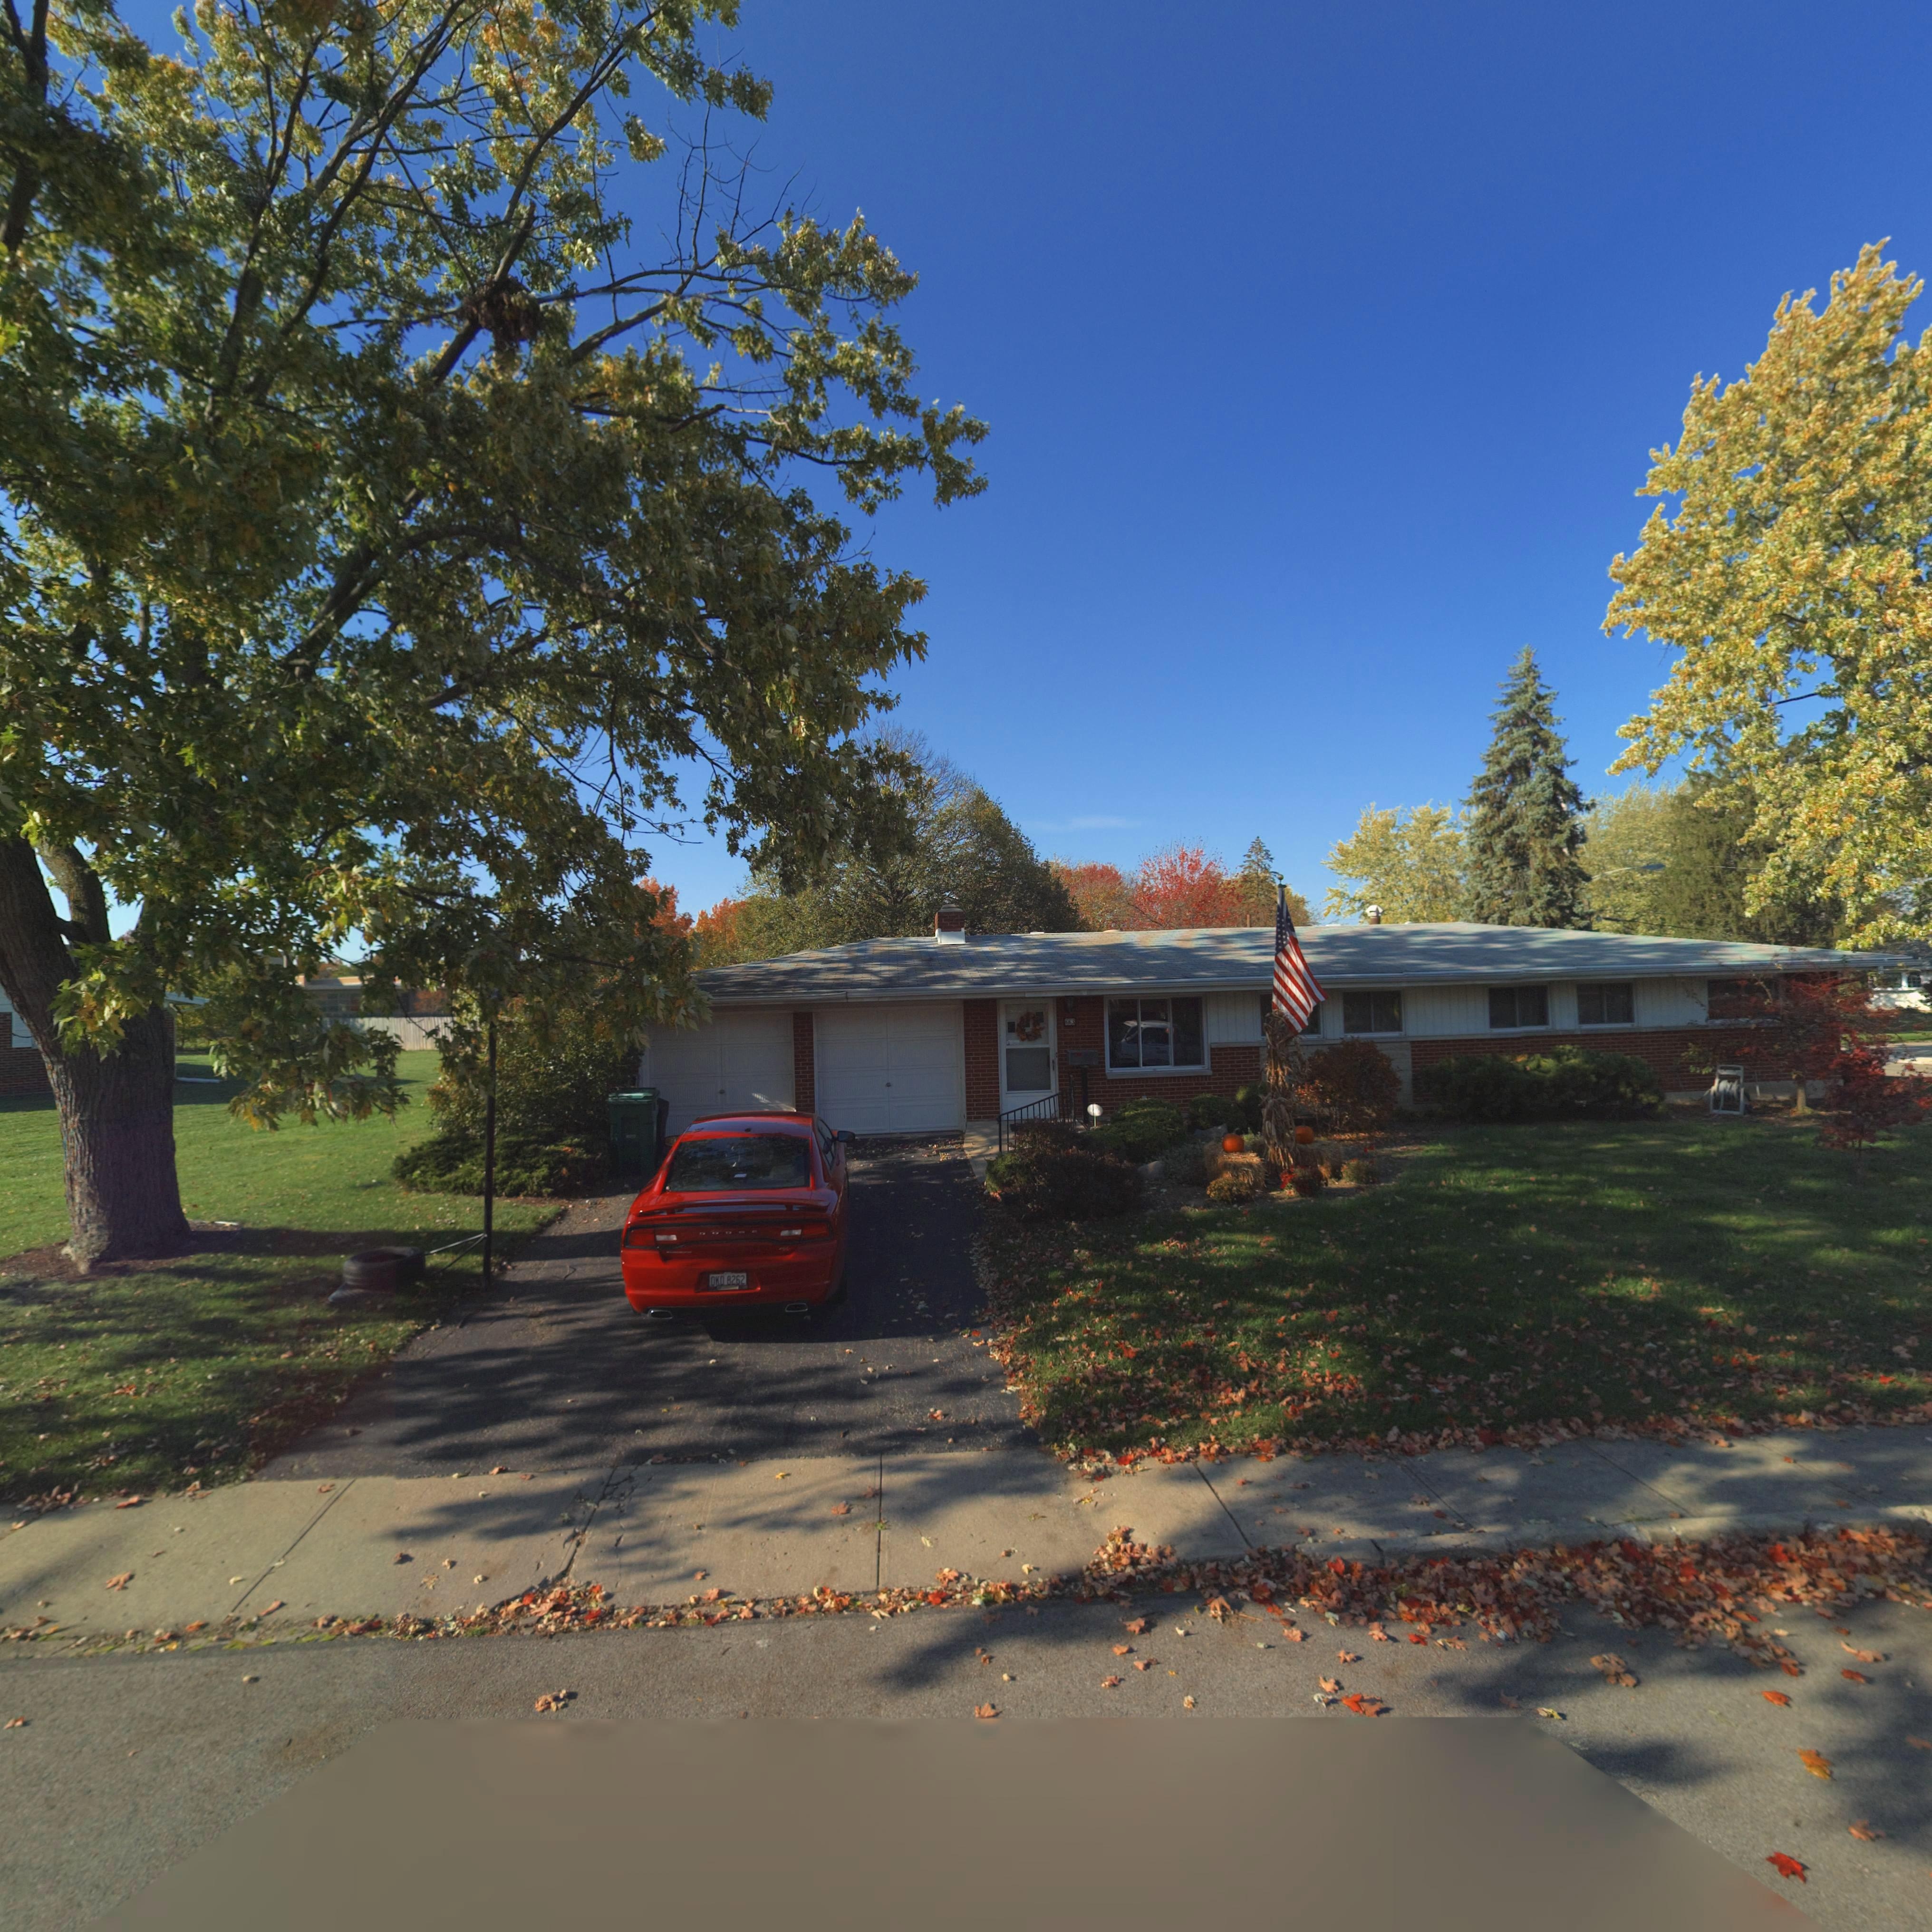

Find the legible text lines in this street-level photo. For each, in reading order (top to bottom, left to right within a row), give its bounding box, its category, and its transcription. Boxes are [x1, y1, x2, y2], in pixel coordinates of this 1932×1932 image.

[1065, 1019, 1075, 1024] StreetNumber: 663